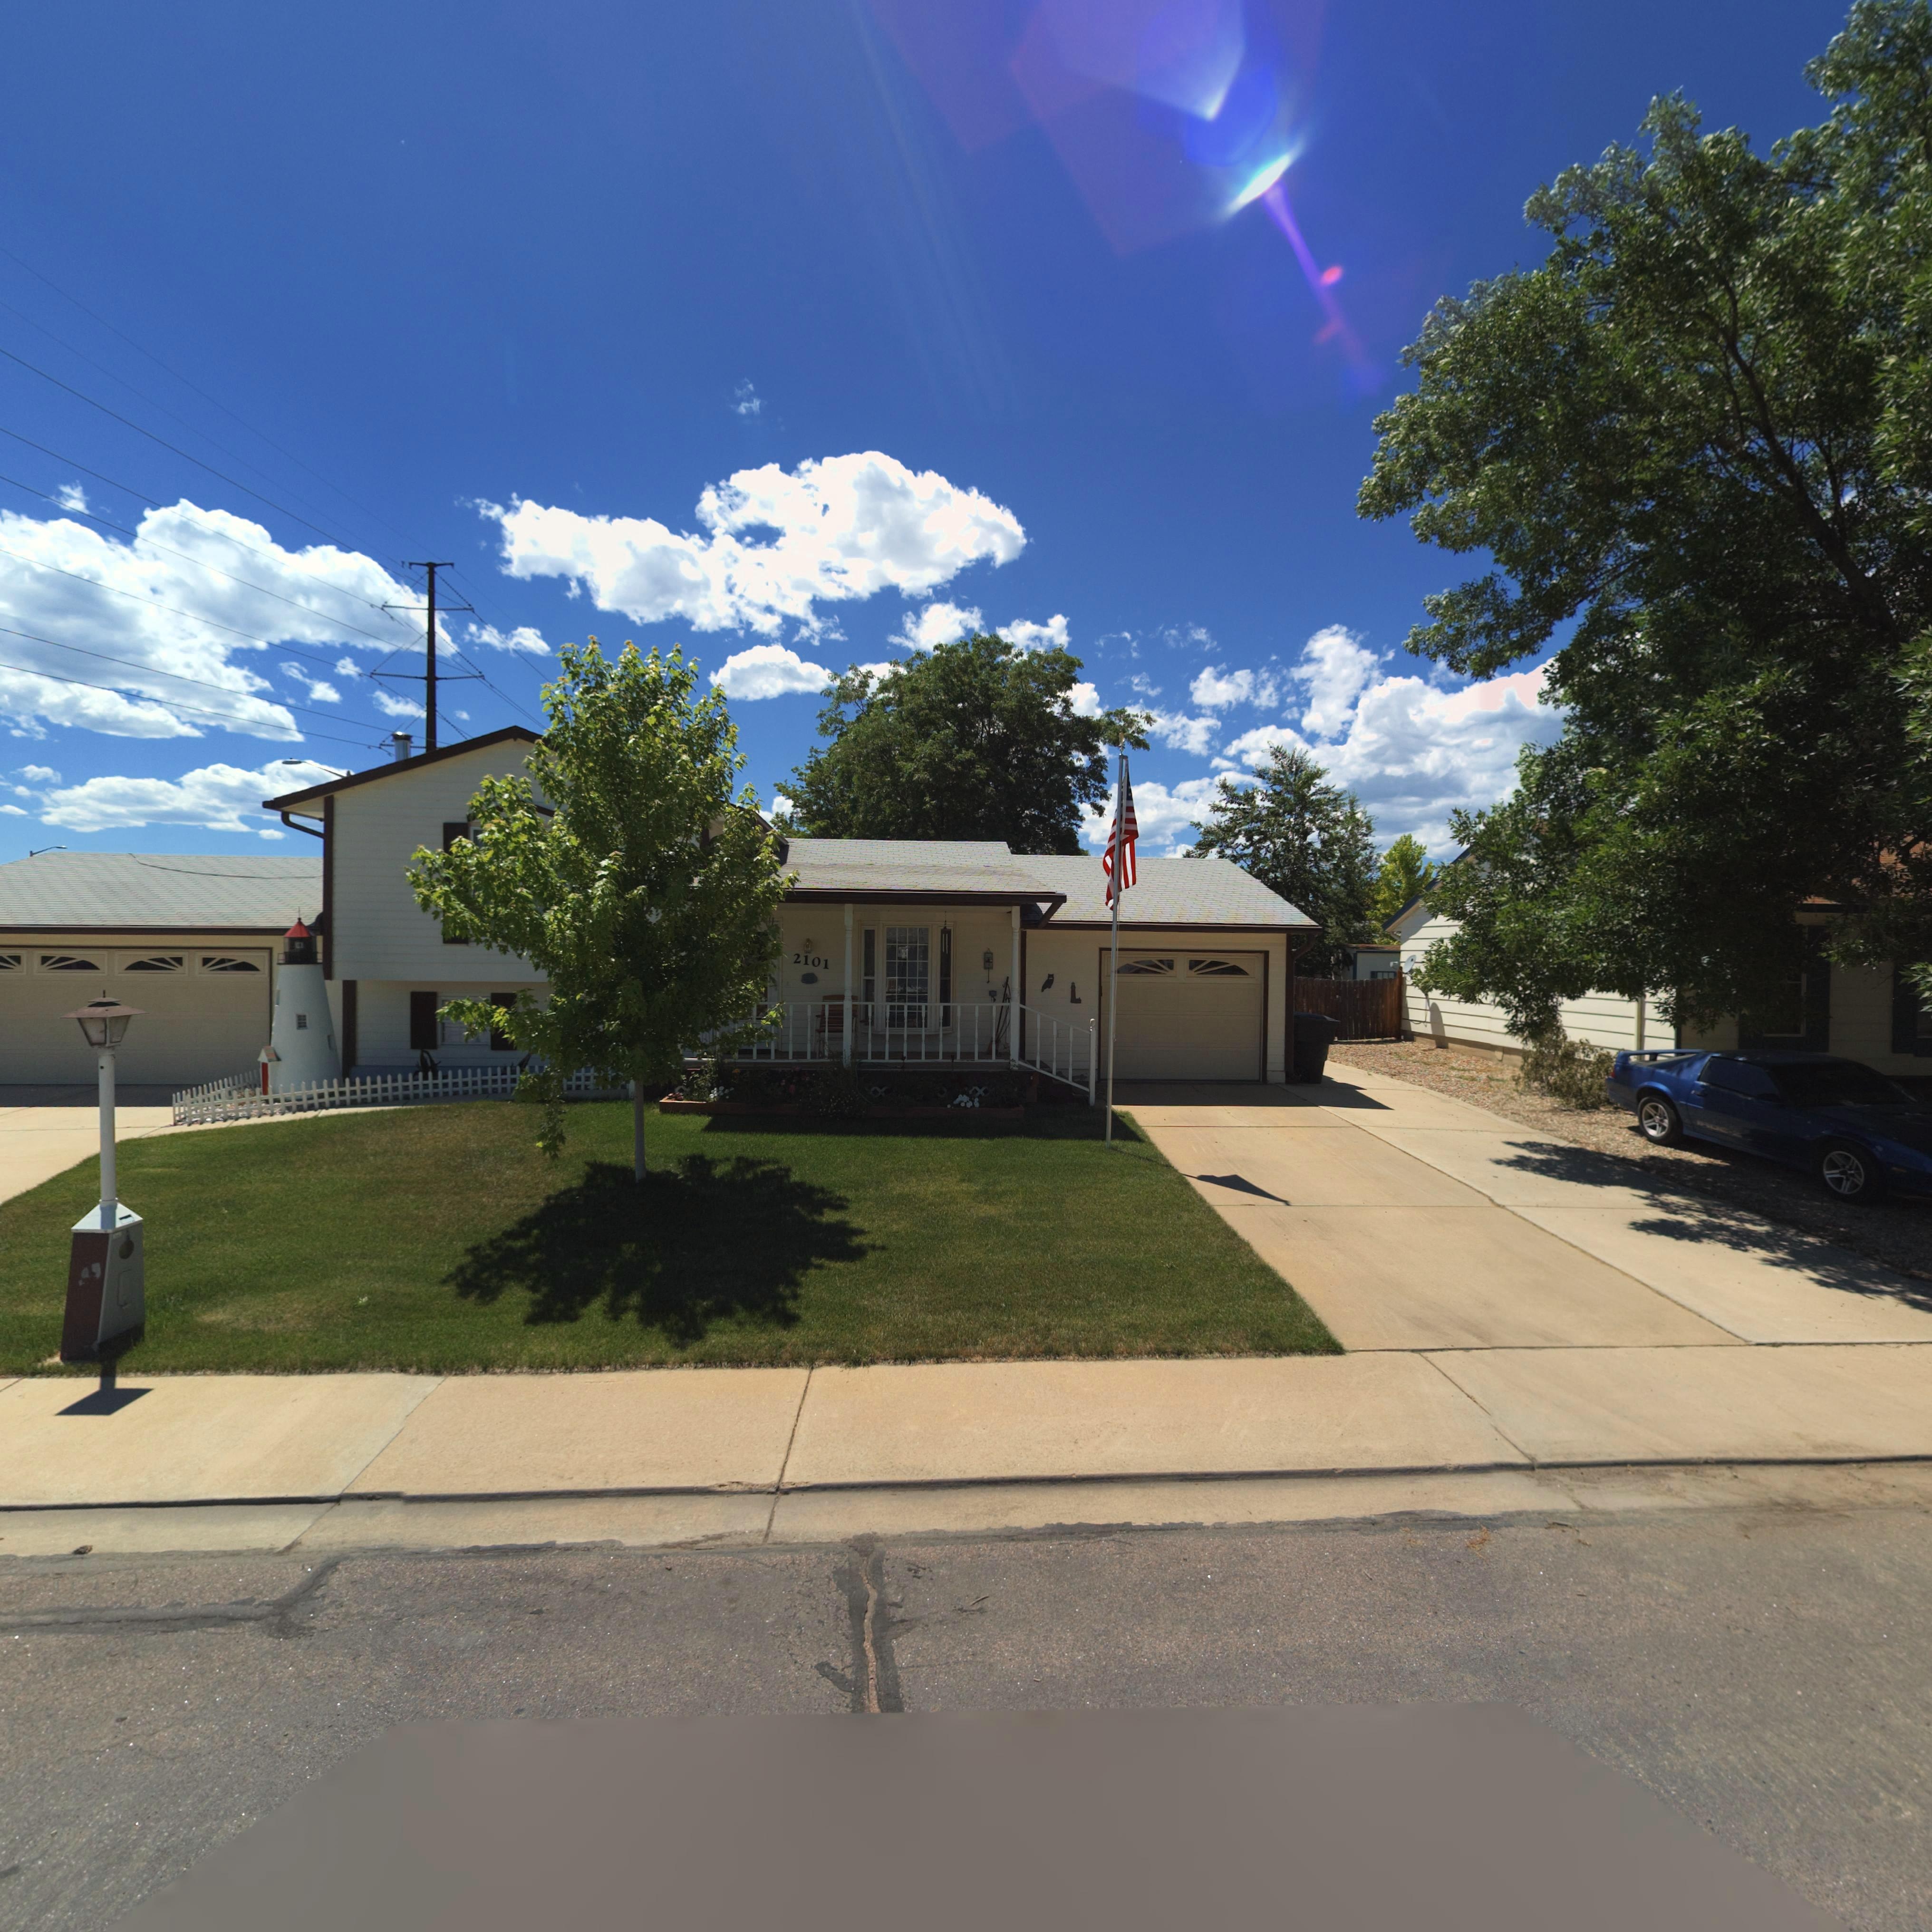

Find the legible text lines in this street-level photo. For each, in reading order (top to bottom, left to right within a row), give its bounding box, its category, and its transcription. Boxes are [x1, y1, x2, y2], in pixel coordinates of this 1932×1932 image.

[792, 952, 829, 970] StreetNumber: 2101